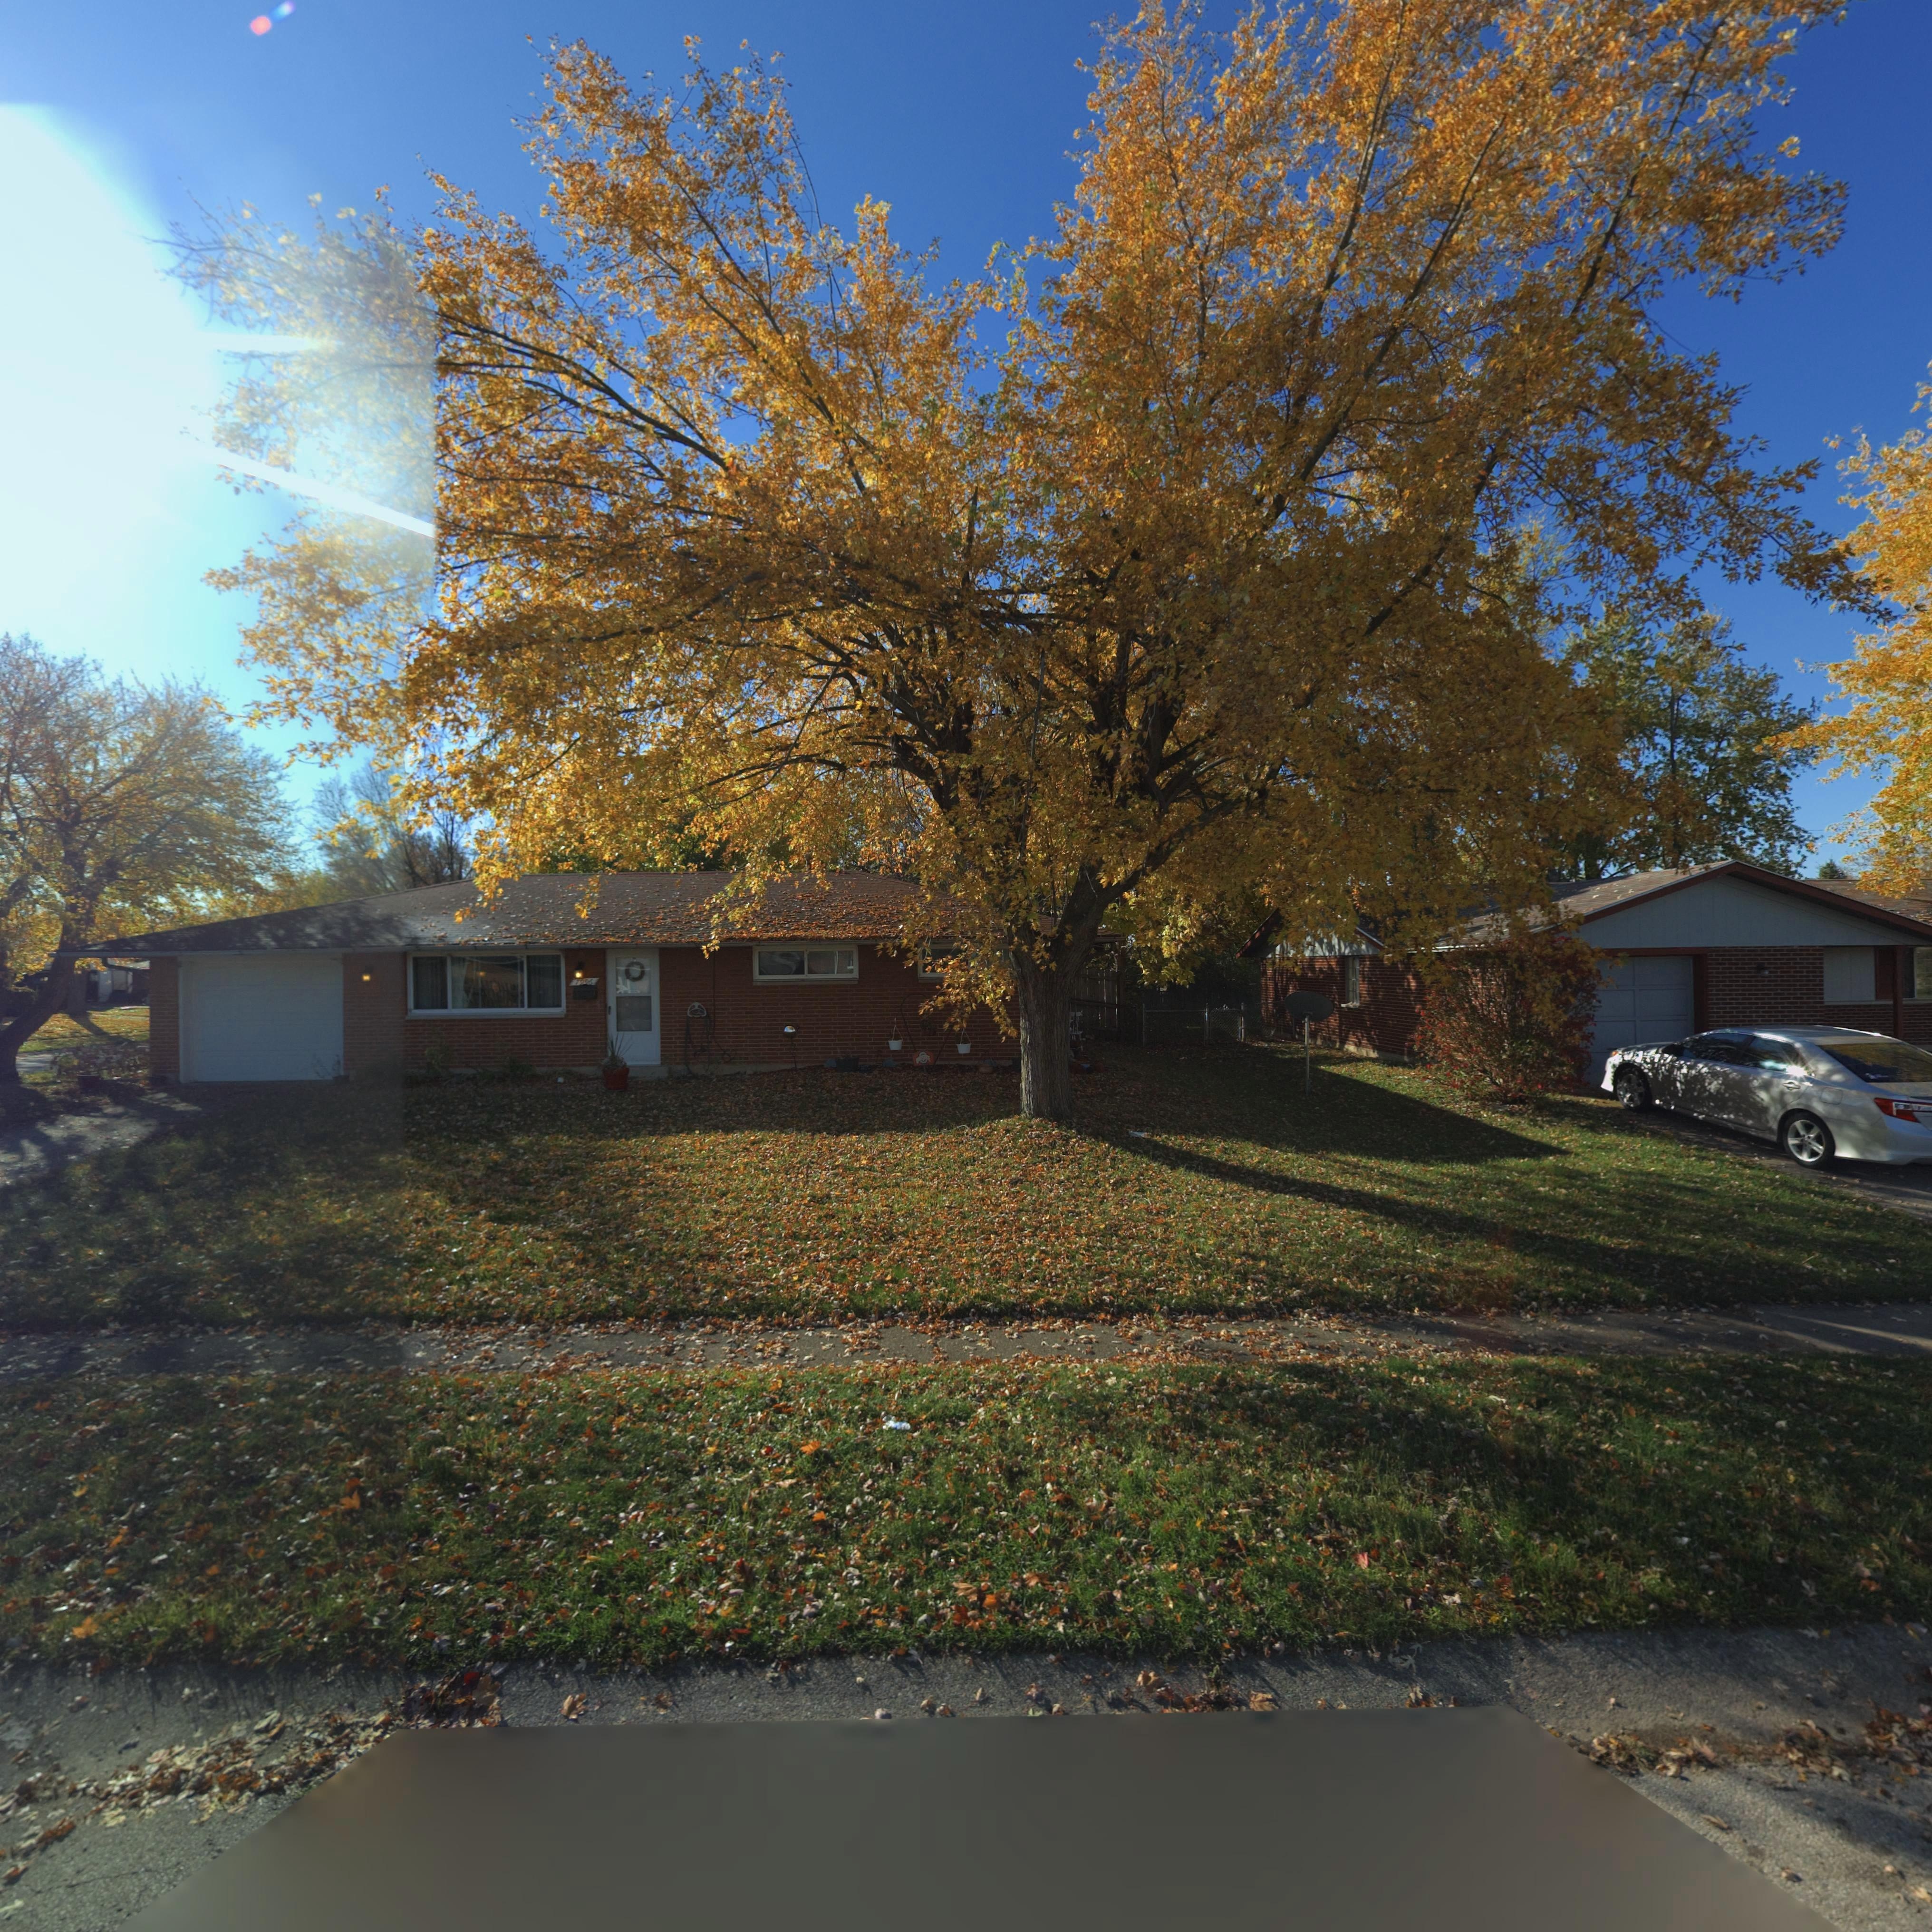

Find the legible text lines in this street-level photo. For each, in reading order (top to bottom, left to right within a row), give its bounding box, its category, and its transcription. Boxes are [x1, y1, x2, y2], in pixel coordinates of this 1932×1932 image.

[573, 978, 594, 986] StreetNumber: 79*6